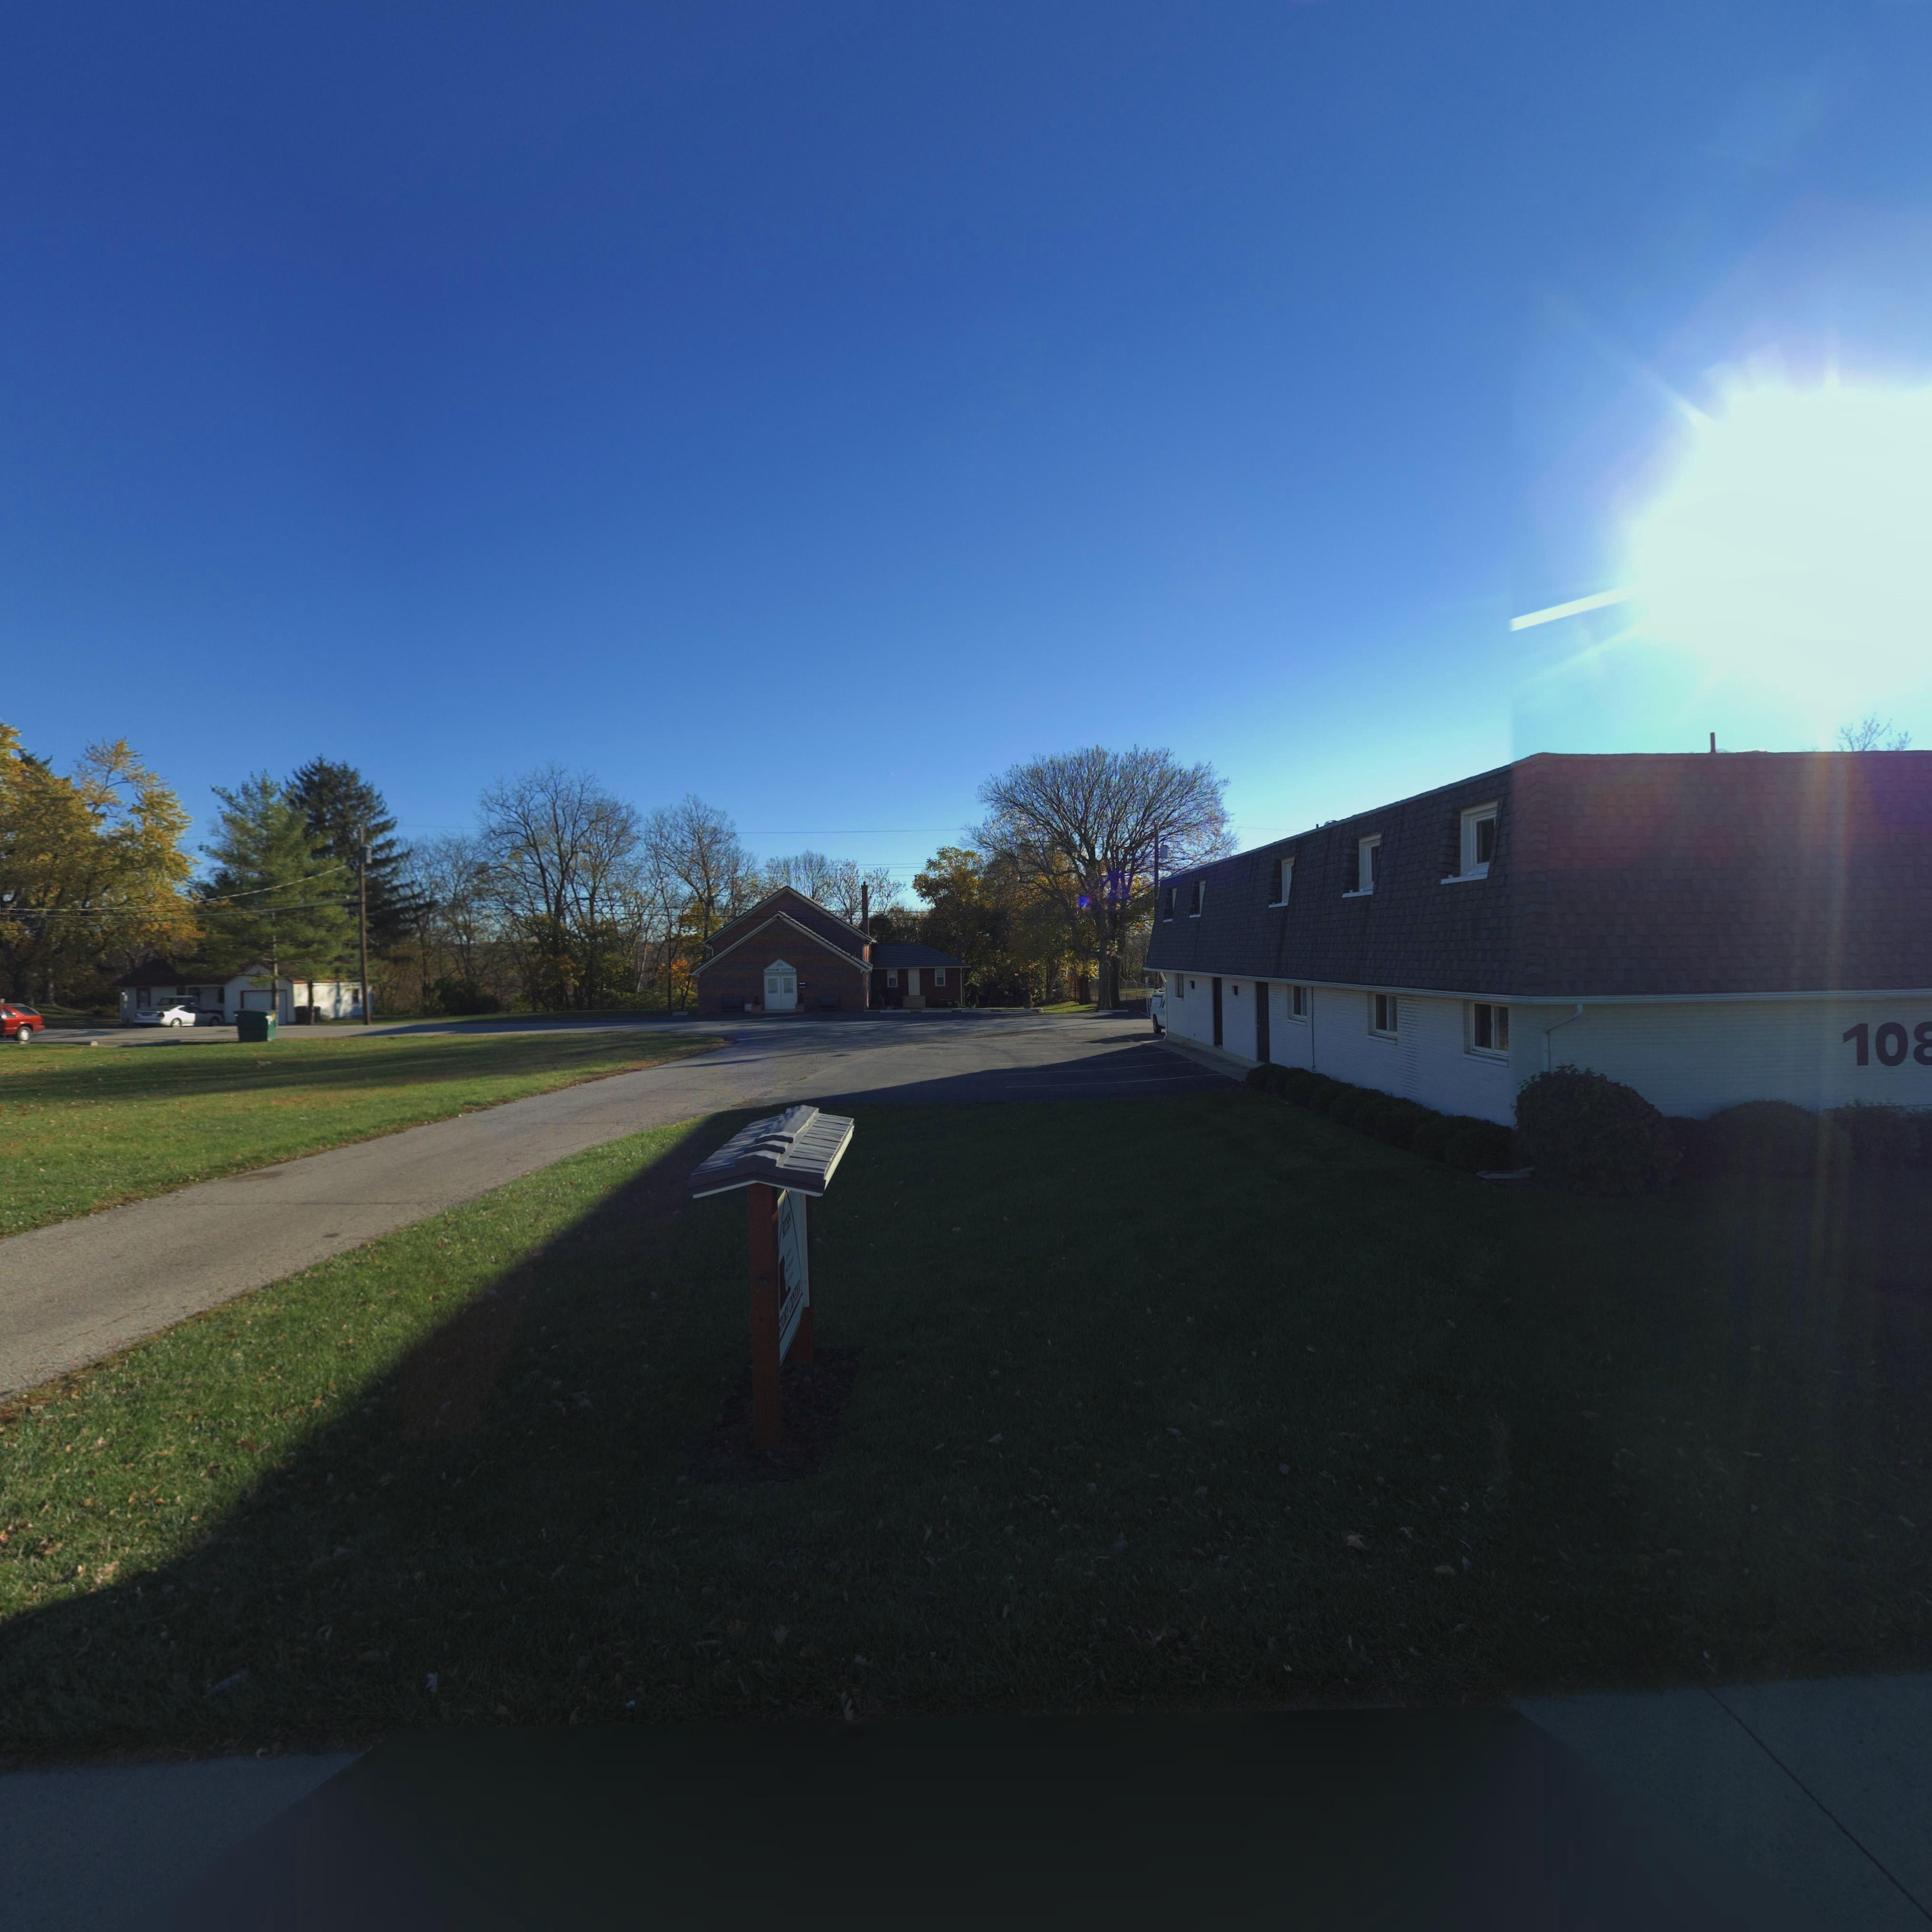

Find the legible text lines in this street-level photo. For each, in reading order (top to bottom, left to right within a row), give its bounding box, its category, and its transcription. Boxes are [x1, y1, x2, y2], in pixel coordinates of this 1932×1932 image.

[1842, 1021, 1909, 1067] StreetNumber: 10